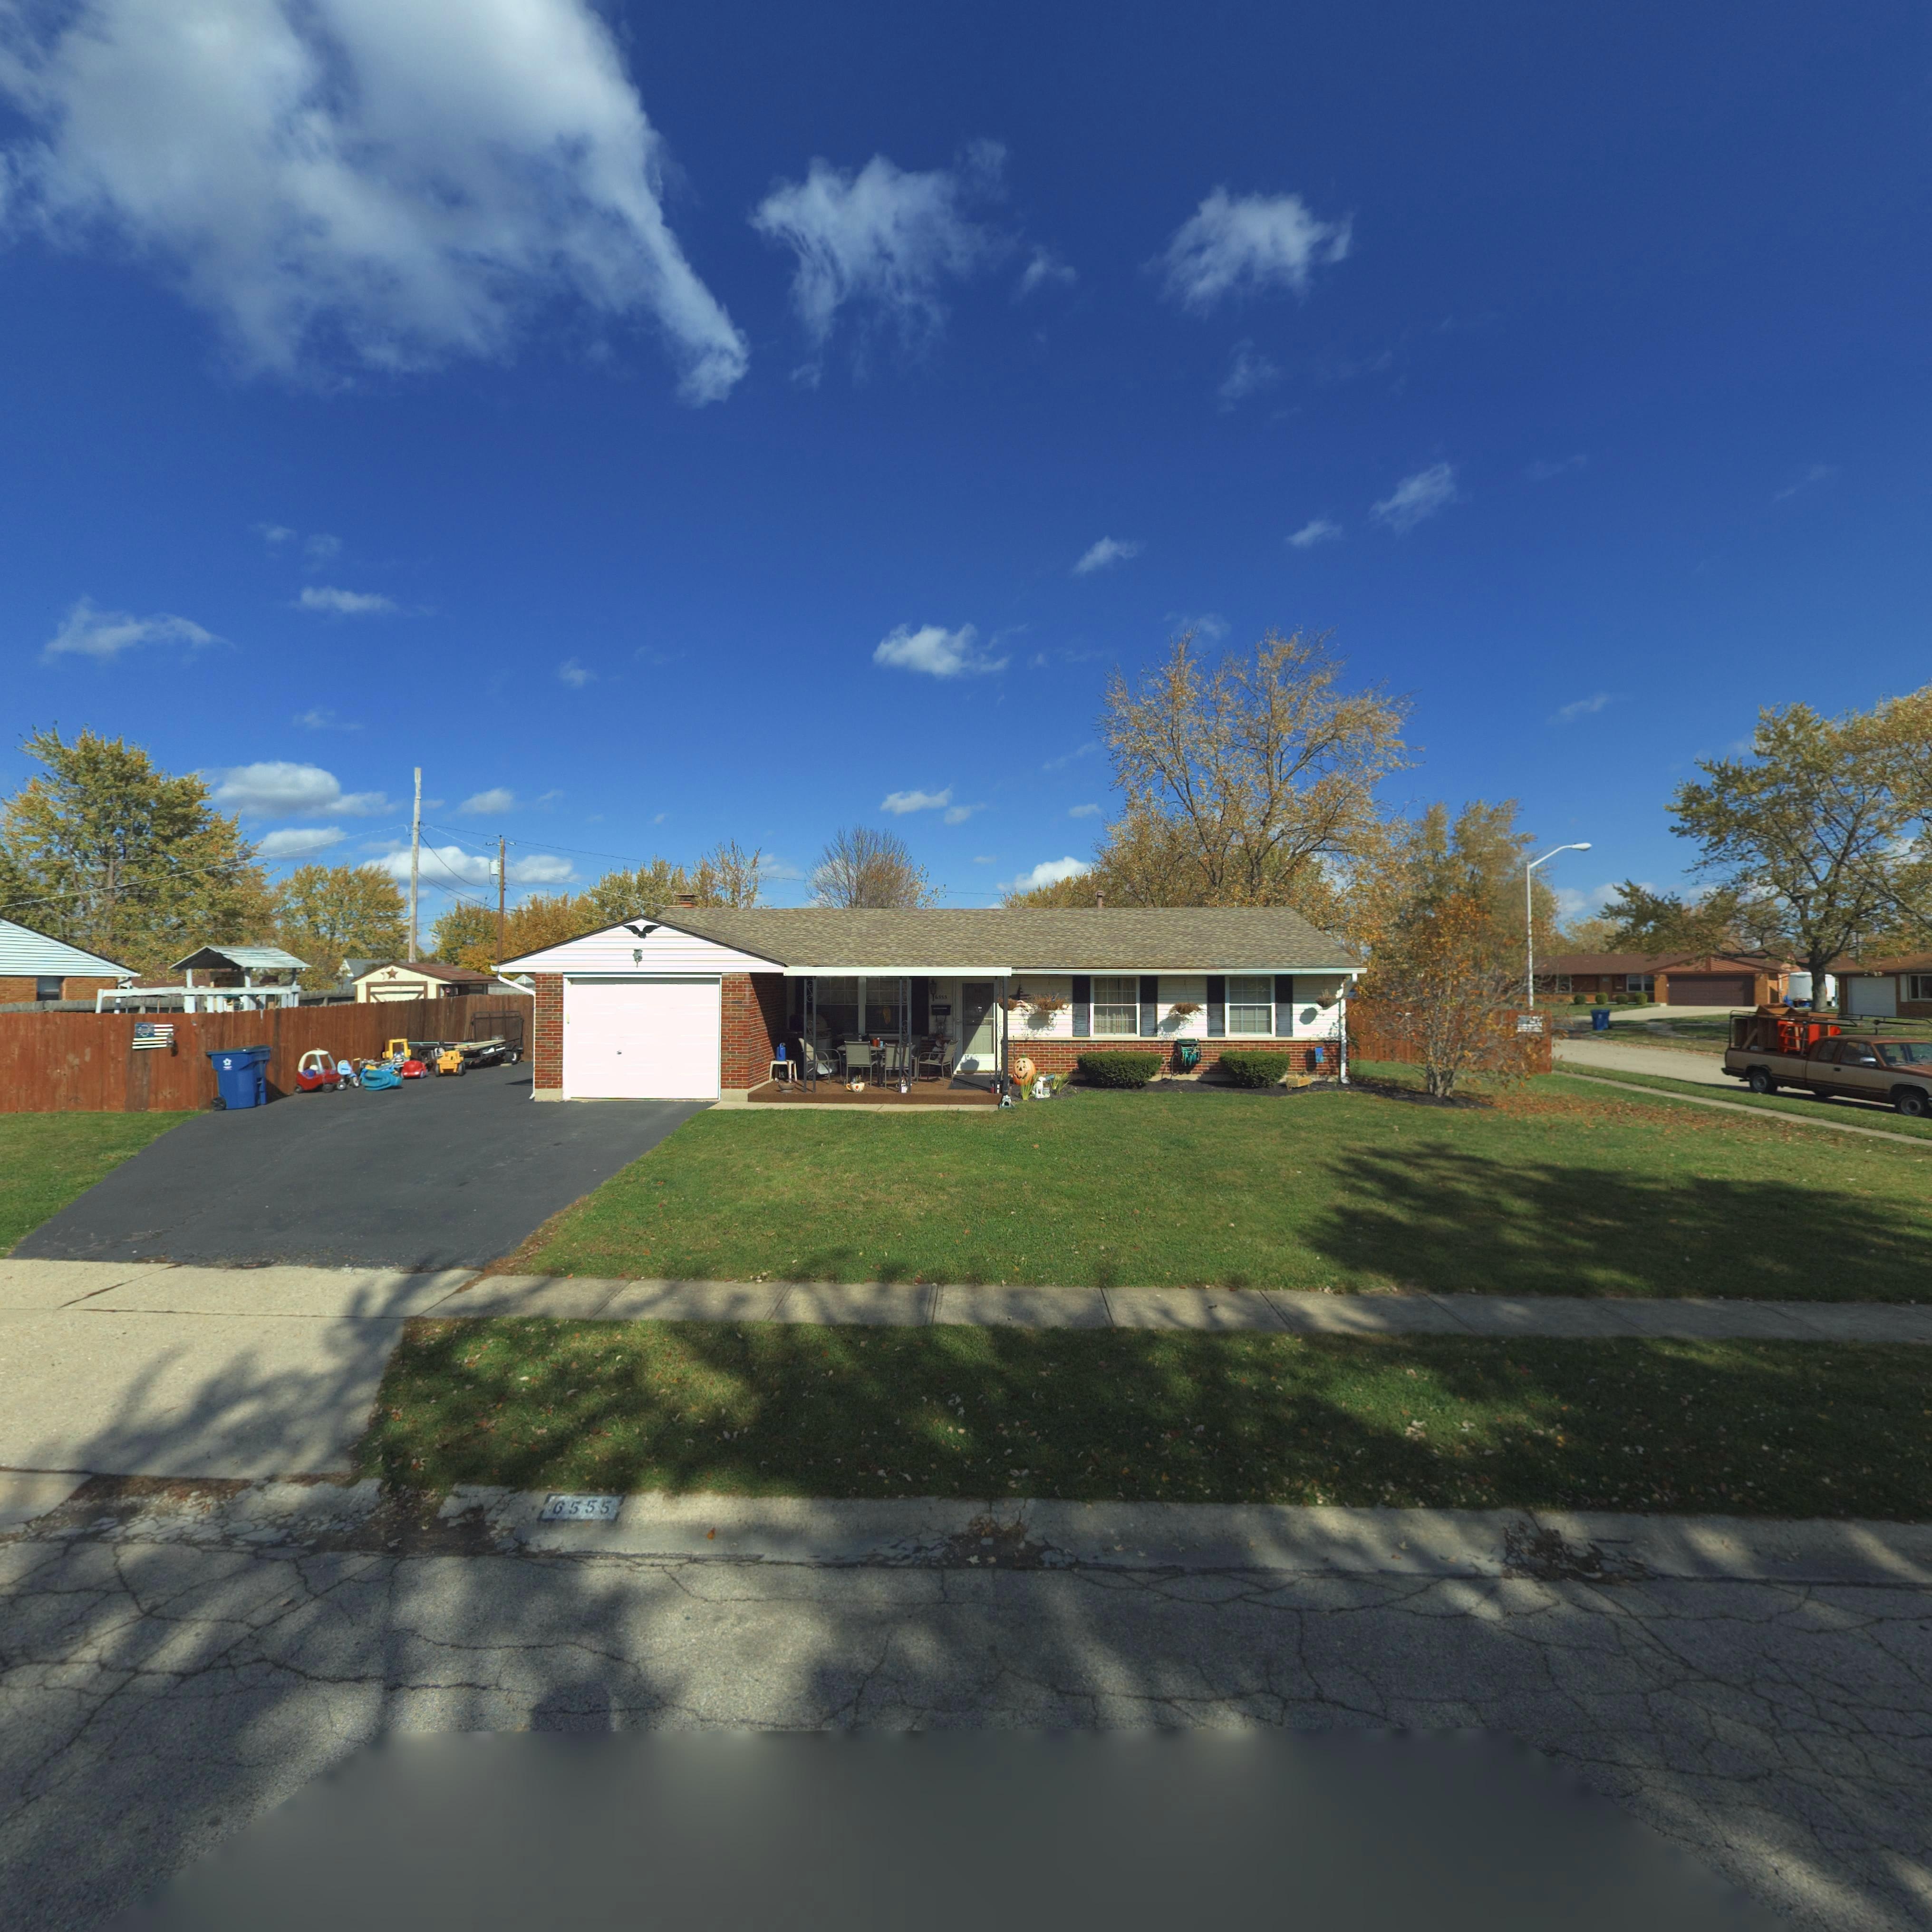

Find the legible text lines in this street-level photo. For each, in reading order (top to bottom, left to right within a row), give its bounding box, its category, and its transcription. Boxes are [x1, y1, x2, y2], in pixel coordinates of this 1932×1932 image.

[934, 994, 947, 1000] StreetNumber: 6555
[552, 1499, 613, 1516] StreetNumber: 6555